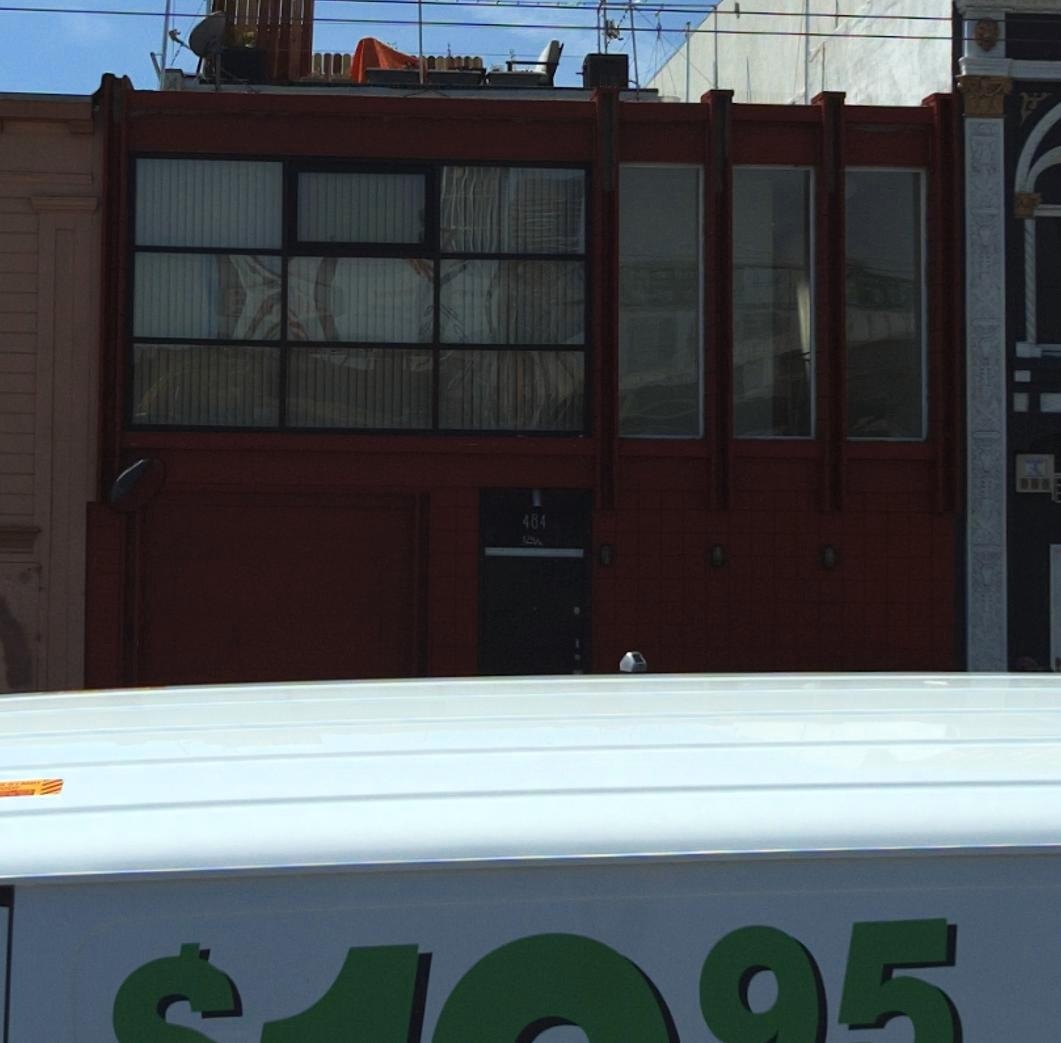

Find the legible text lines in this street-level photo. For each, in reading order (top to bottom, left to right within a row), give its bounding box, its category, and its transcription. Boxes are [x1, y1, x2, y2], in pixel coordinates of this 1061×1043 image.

[522, 512, 547, 530] StreetNumber: 484